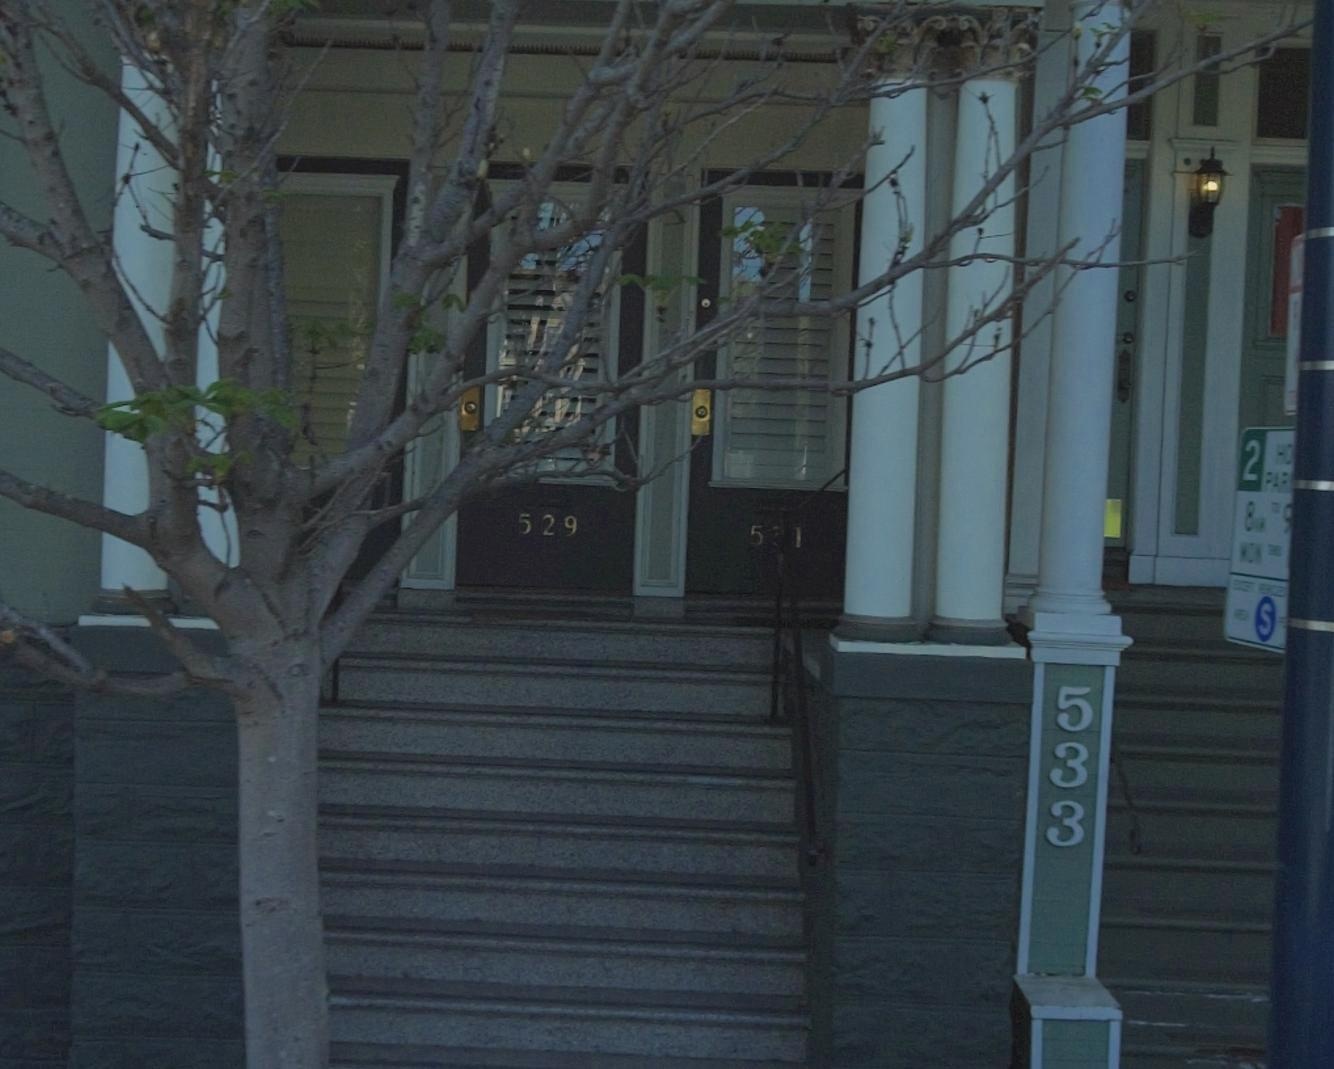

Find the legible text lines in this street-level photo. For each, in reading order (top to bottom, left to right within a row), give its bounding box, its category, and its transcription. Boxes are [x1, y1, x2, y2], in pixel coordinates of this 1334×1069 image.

[1240, 438, 1266, 484] None: 2
[515, 512, 579, 537] StreetNumber: 529
[748, 523, 805, 549] StreetNumber: 531
[1256, 602, 1274, 640] None: S
[1041, 684, 1098, 848] StreetNumber: 533